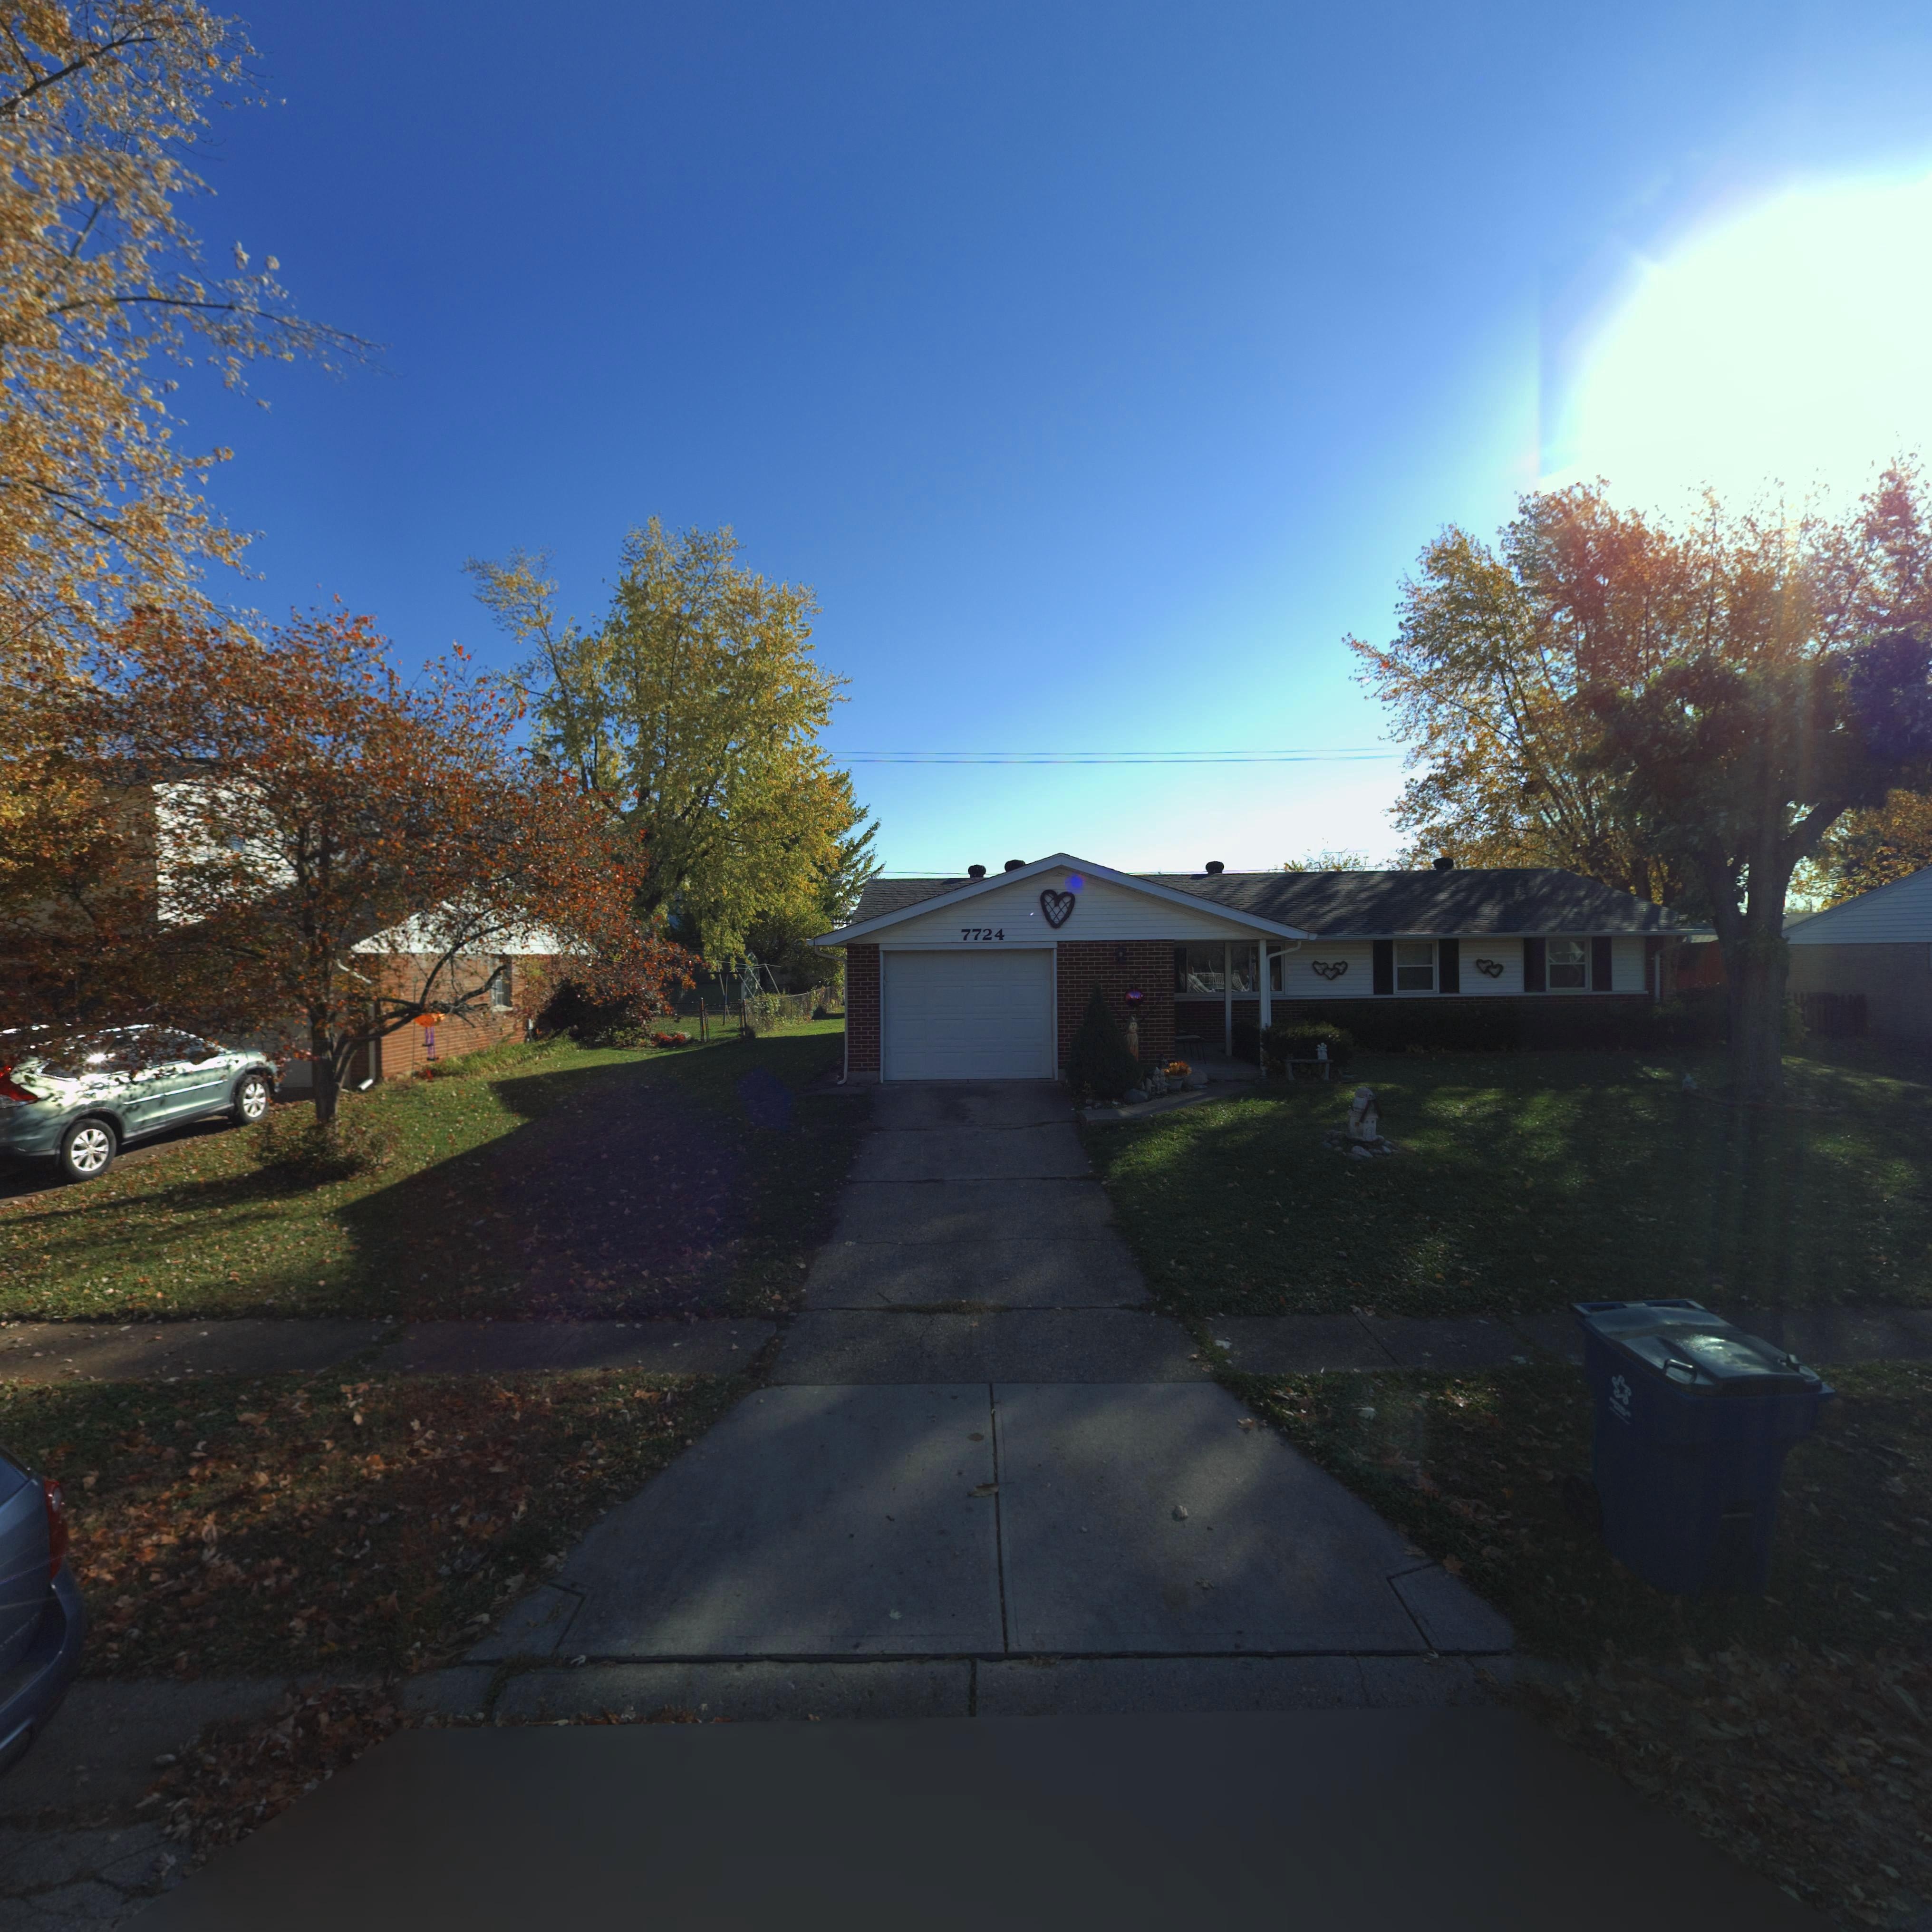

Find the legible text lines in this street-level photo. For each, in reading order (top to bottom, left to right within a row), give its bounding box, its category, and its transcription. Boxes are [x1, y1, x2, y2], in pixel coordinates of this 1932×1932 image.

[959, 927, 1006, 942] StreetNumber: 7724